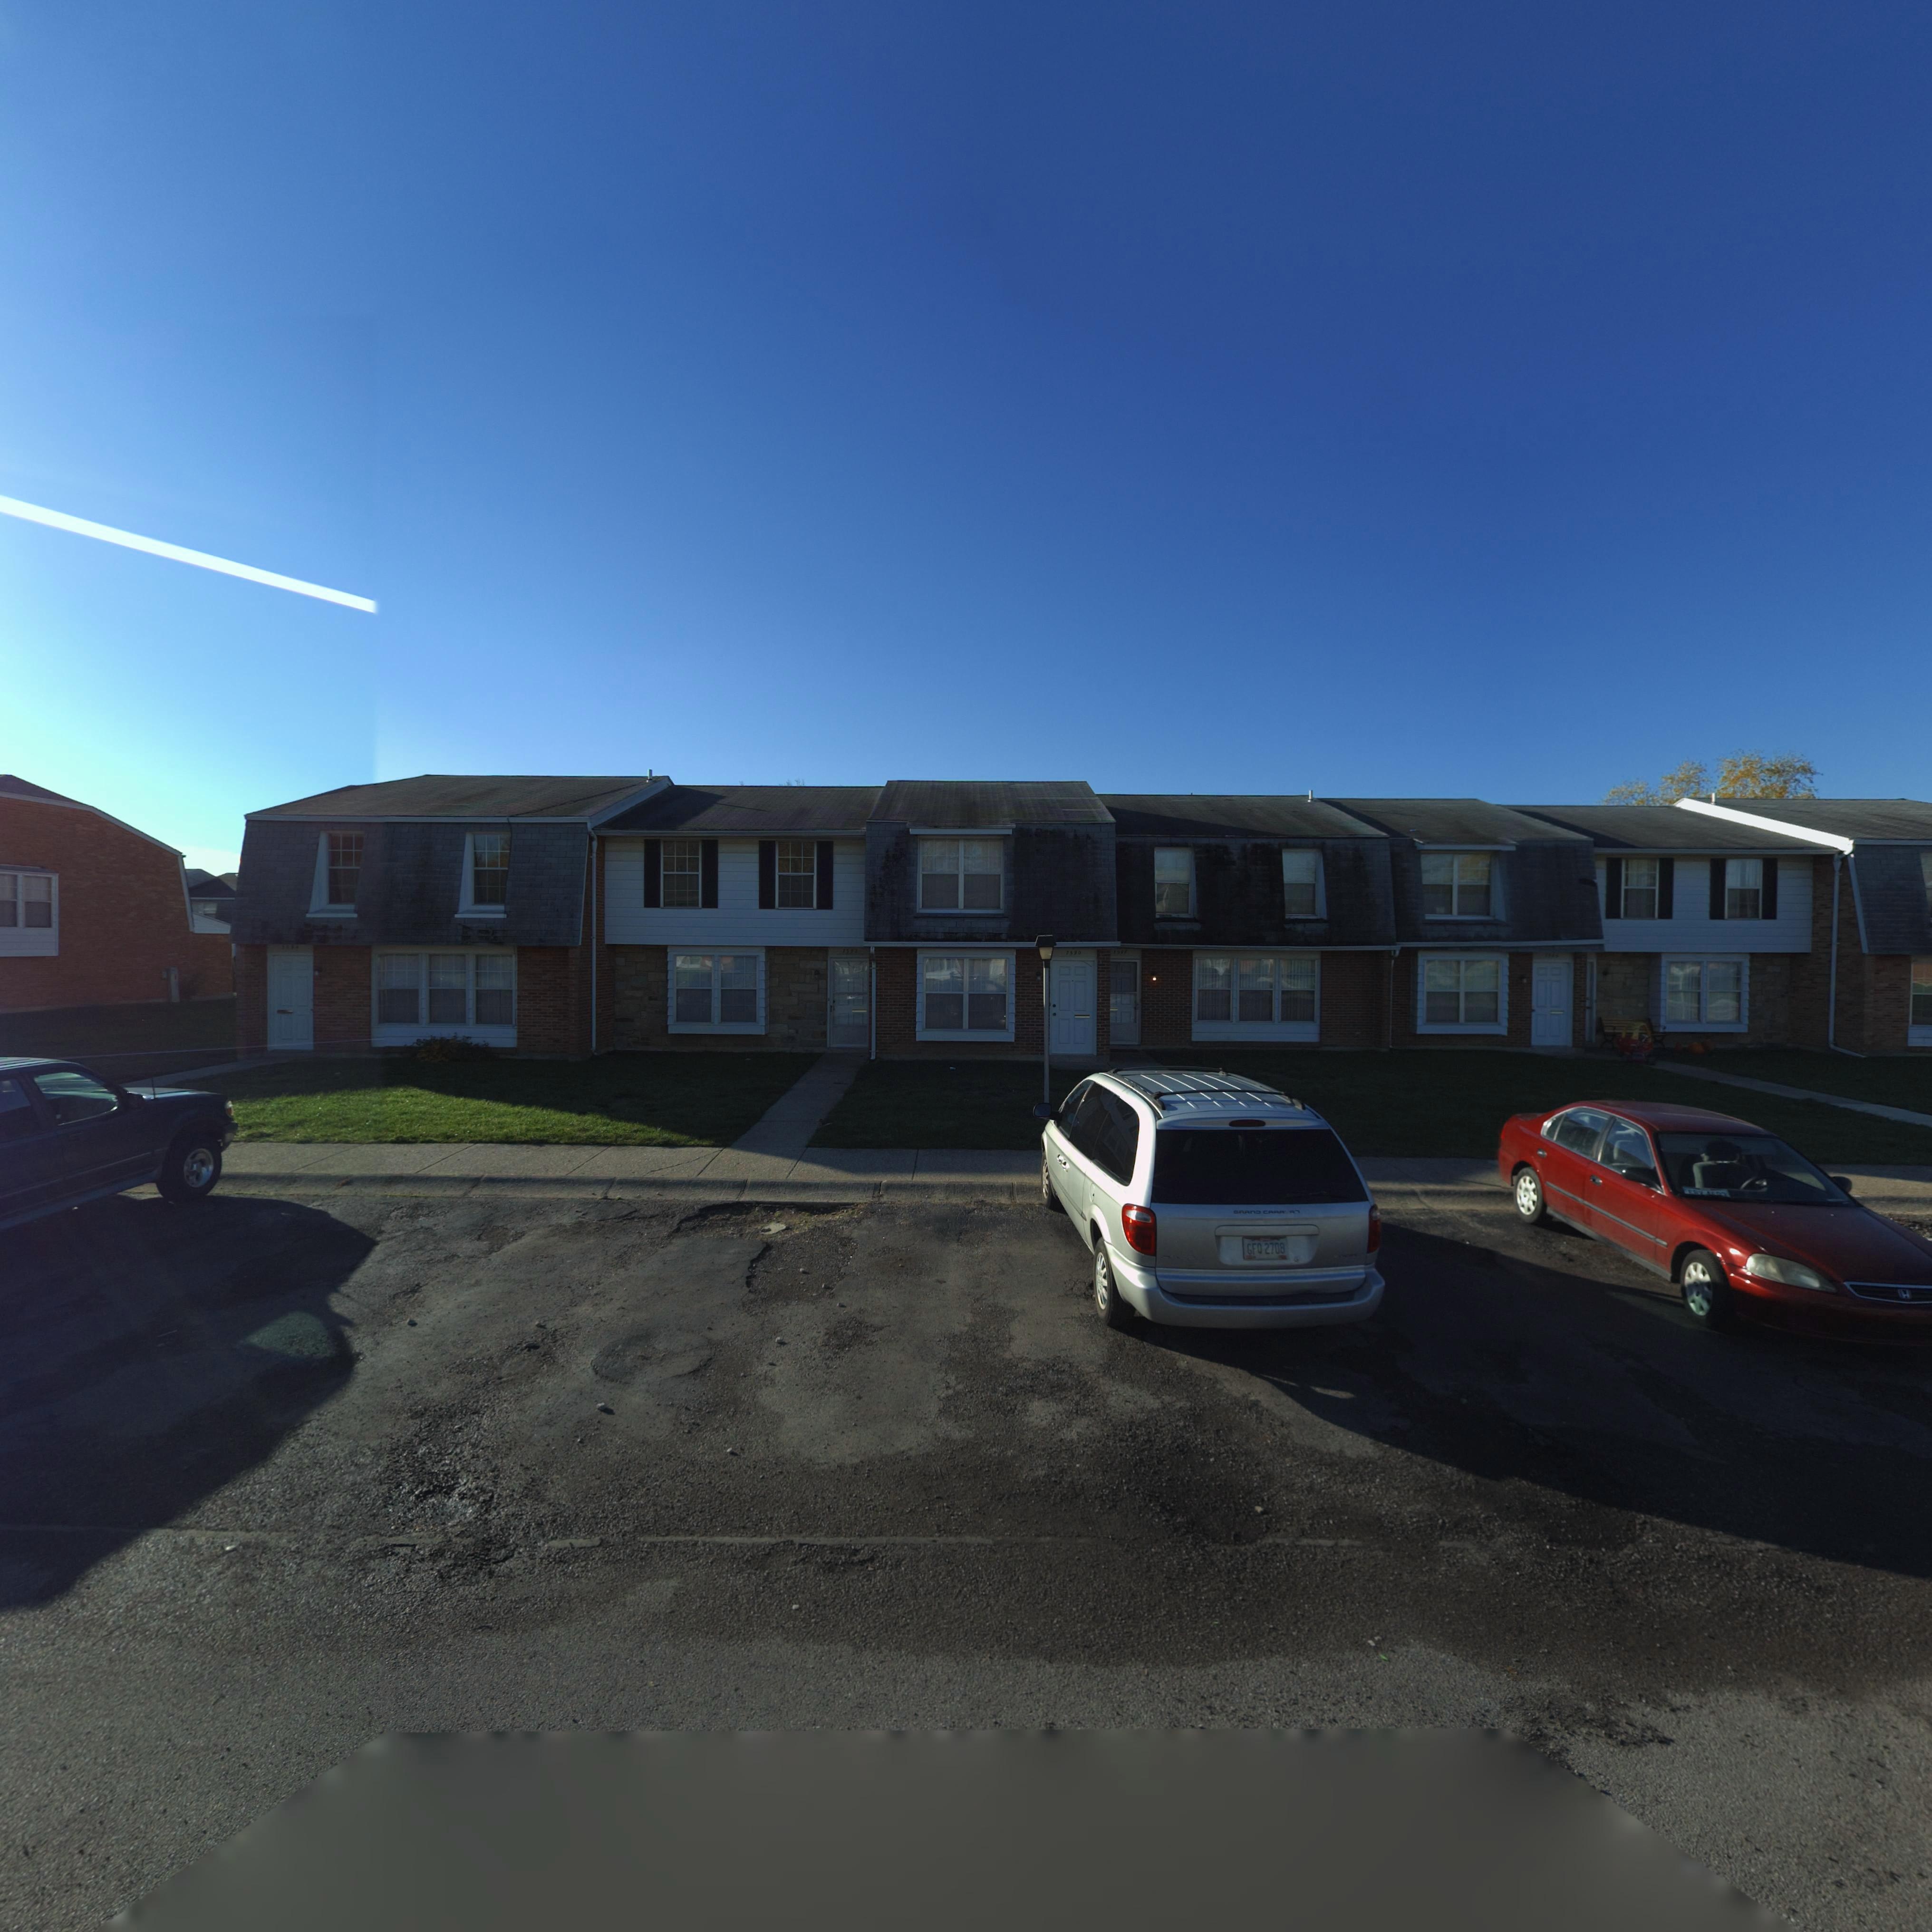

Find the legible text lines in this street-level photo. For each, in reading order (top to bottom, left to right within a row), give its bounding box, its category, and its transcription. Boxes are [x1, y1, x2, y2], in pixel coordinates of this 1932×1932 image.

[280, 944, 299, 951] StreetNumber: 7**4
[842, 948, 859, 954] StreetNumber: 7592
[1065, 950, 1082, 956] StreetNumber: 7590
[1112, 949, 1128, 955] StreetNumber: 7588
[1544, 952, 1560, 958] StreetNumber: 75**